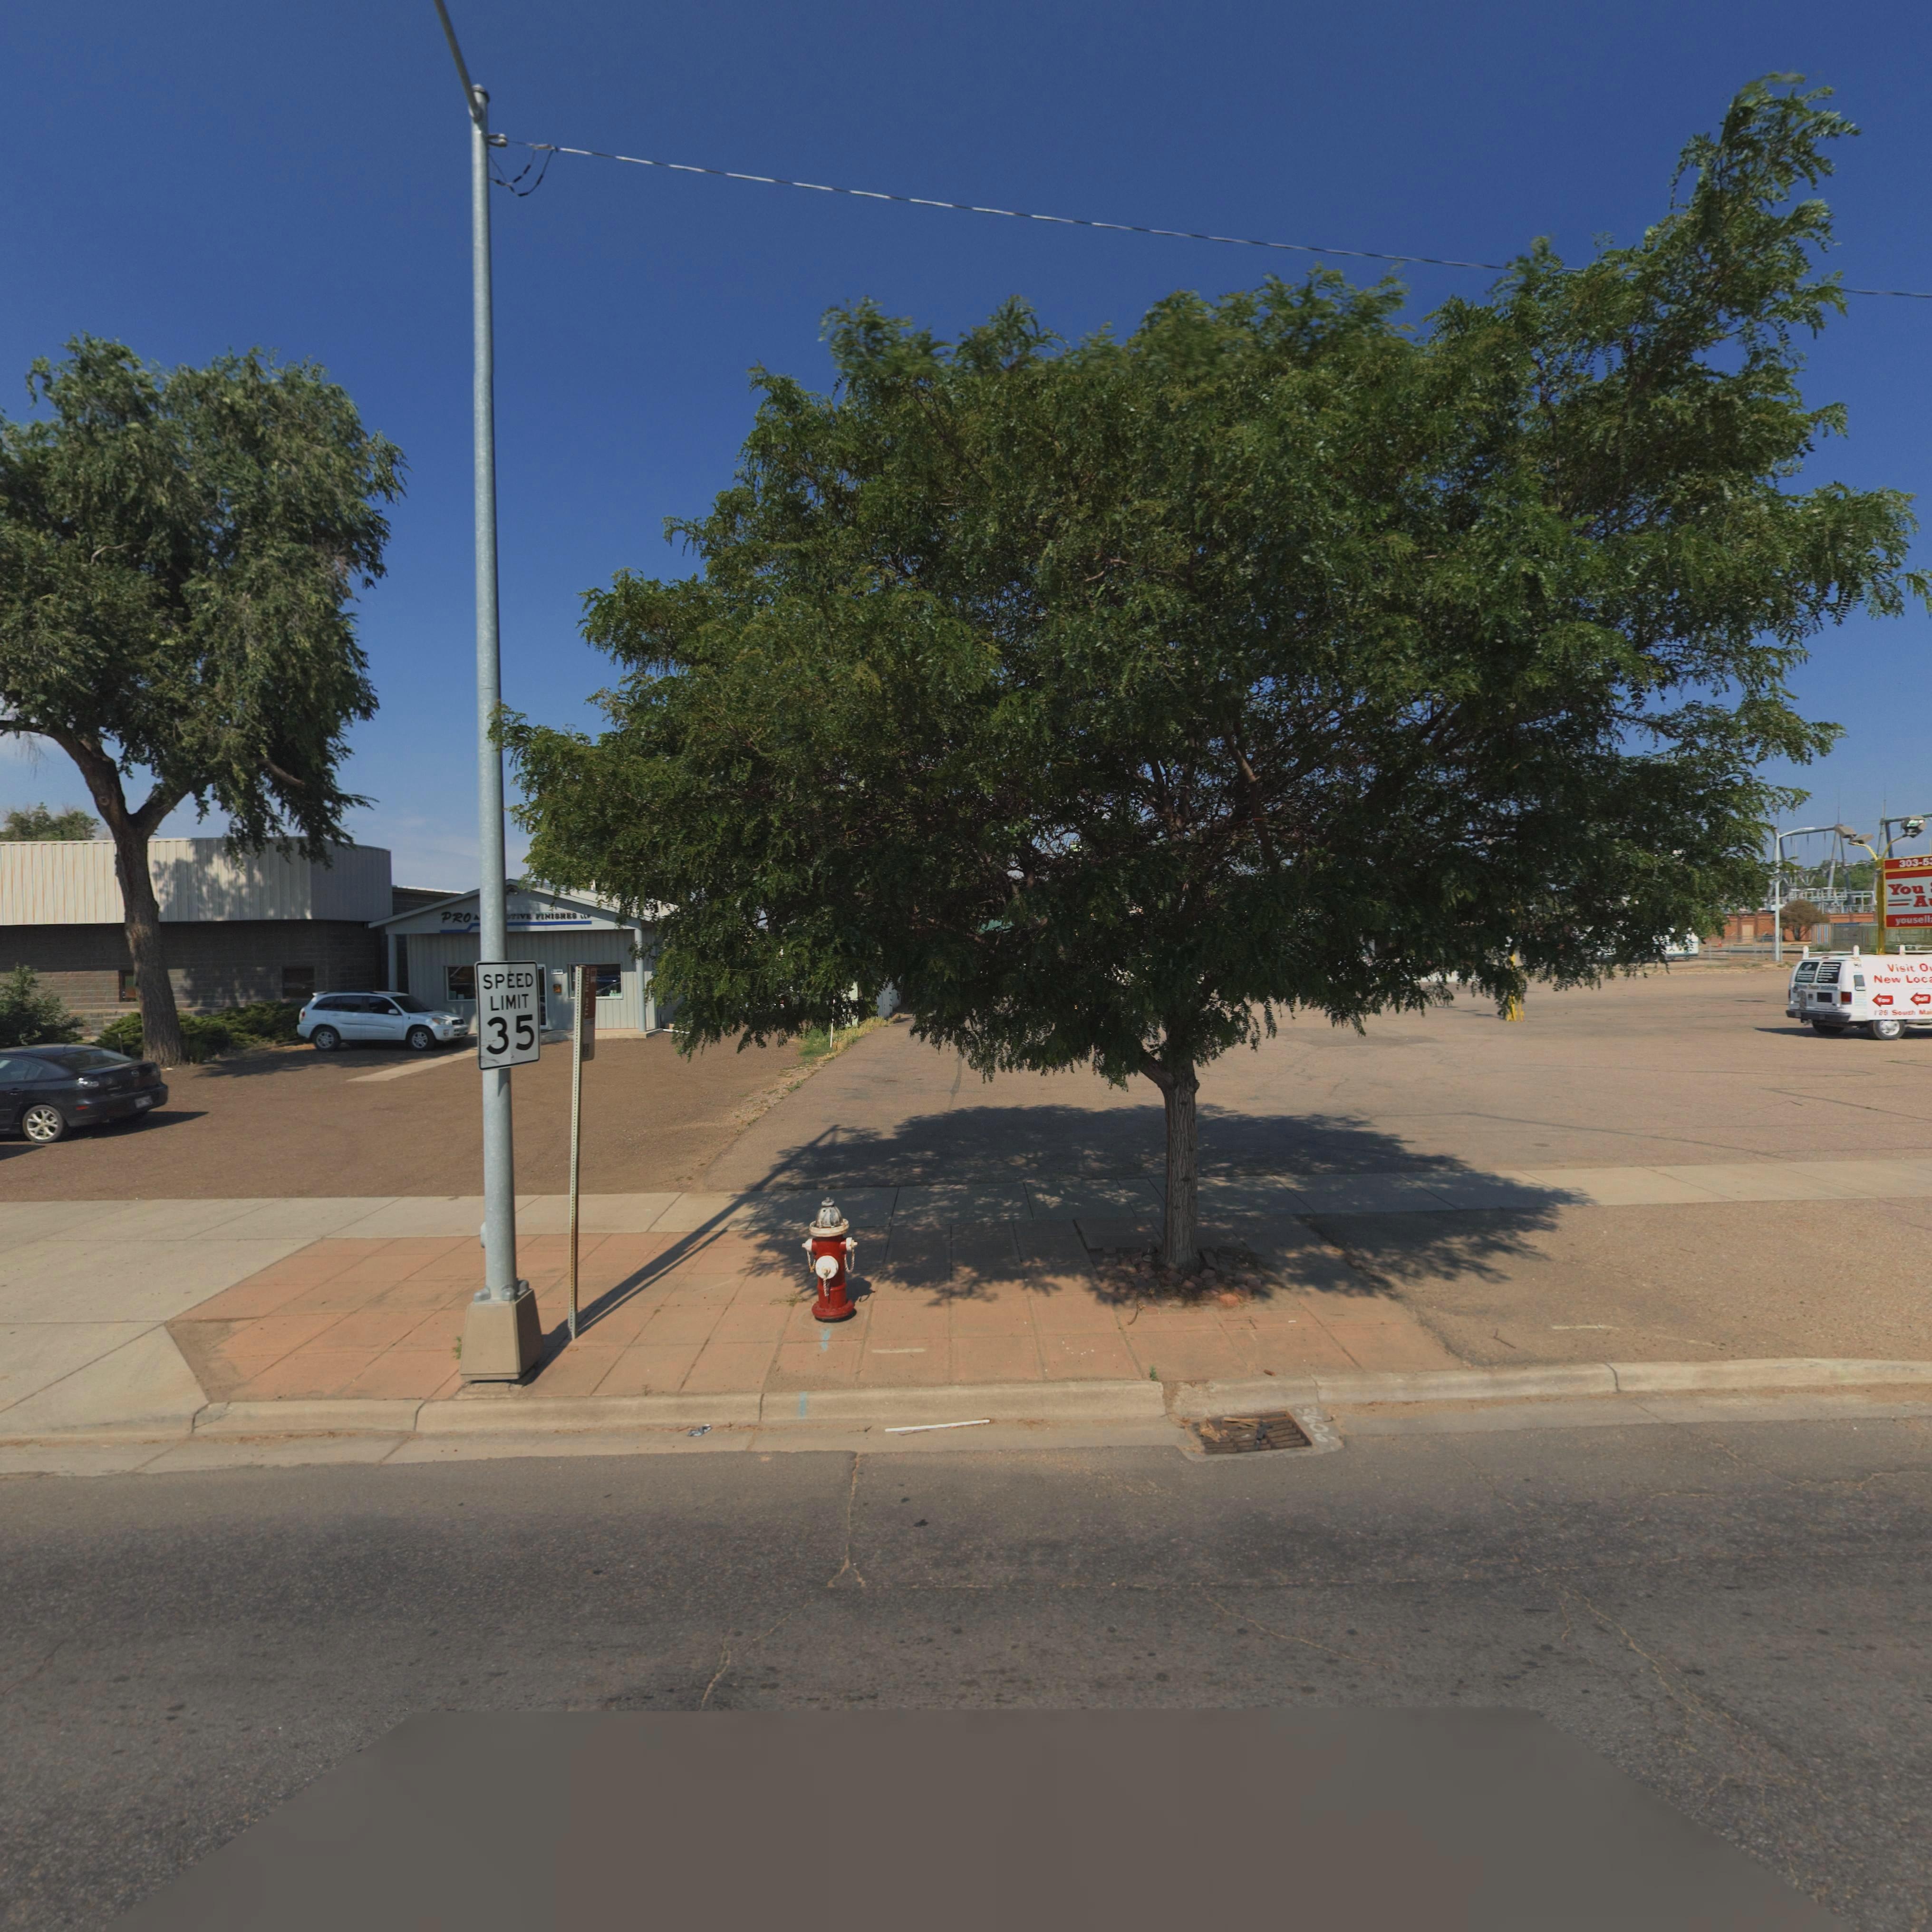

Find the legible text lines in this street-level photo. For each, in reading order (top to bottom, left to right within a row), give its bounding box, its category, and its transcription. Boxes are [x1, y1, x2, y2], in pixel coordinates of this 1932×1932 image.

[441, 911, 471, 923] BusinessName: PRO
[473, 912, 577, 920] BusinessName: A*****TIVE FINISHES